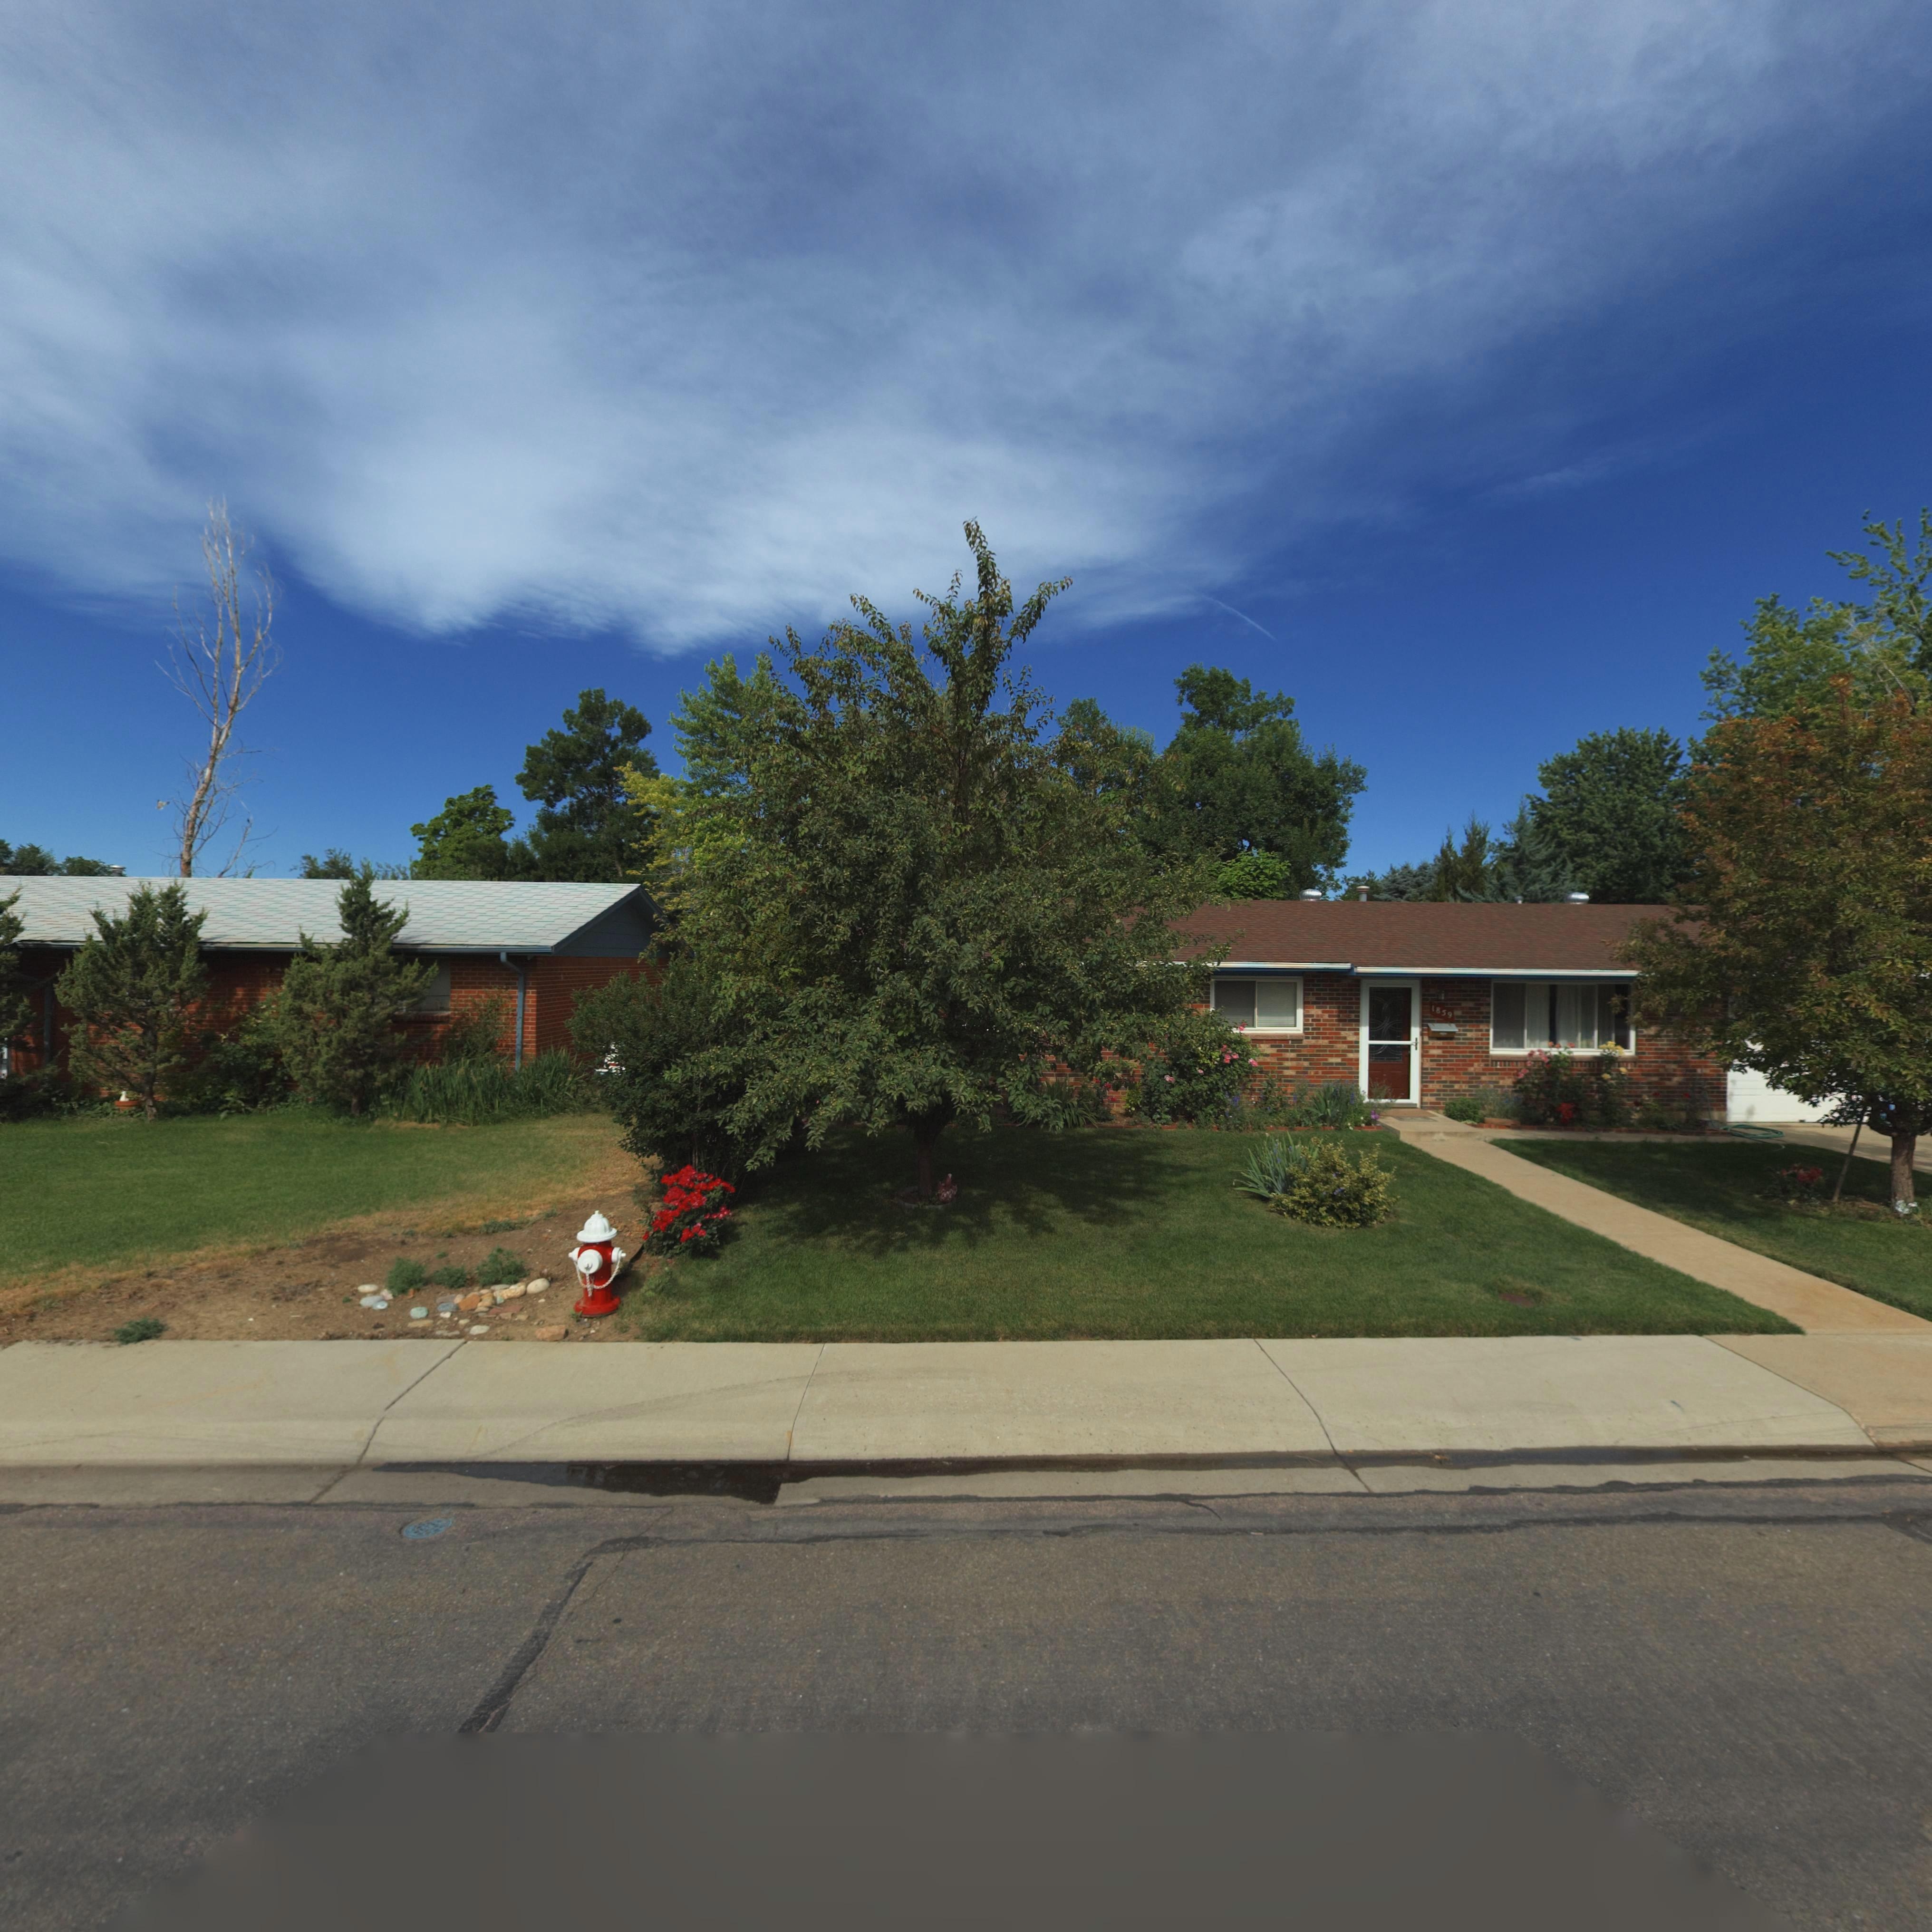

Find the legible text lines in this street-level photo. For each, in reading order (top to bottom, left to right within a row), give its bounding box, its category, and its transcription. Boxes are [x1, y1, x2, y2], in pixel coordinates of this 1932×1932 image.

[1431, 1005, 1452, 1019] StreetNumber: 1859